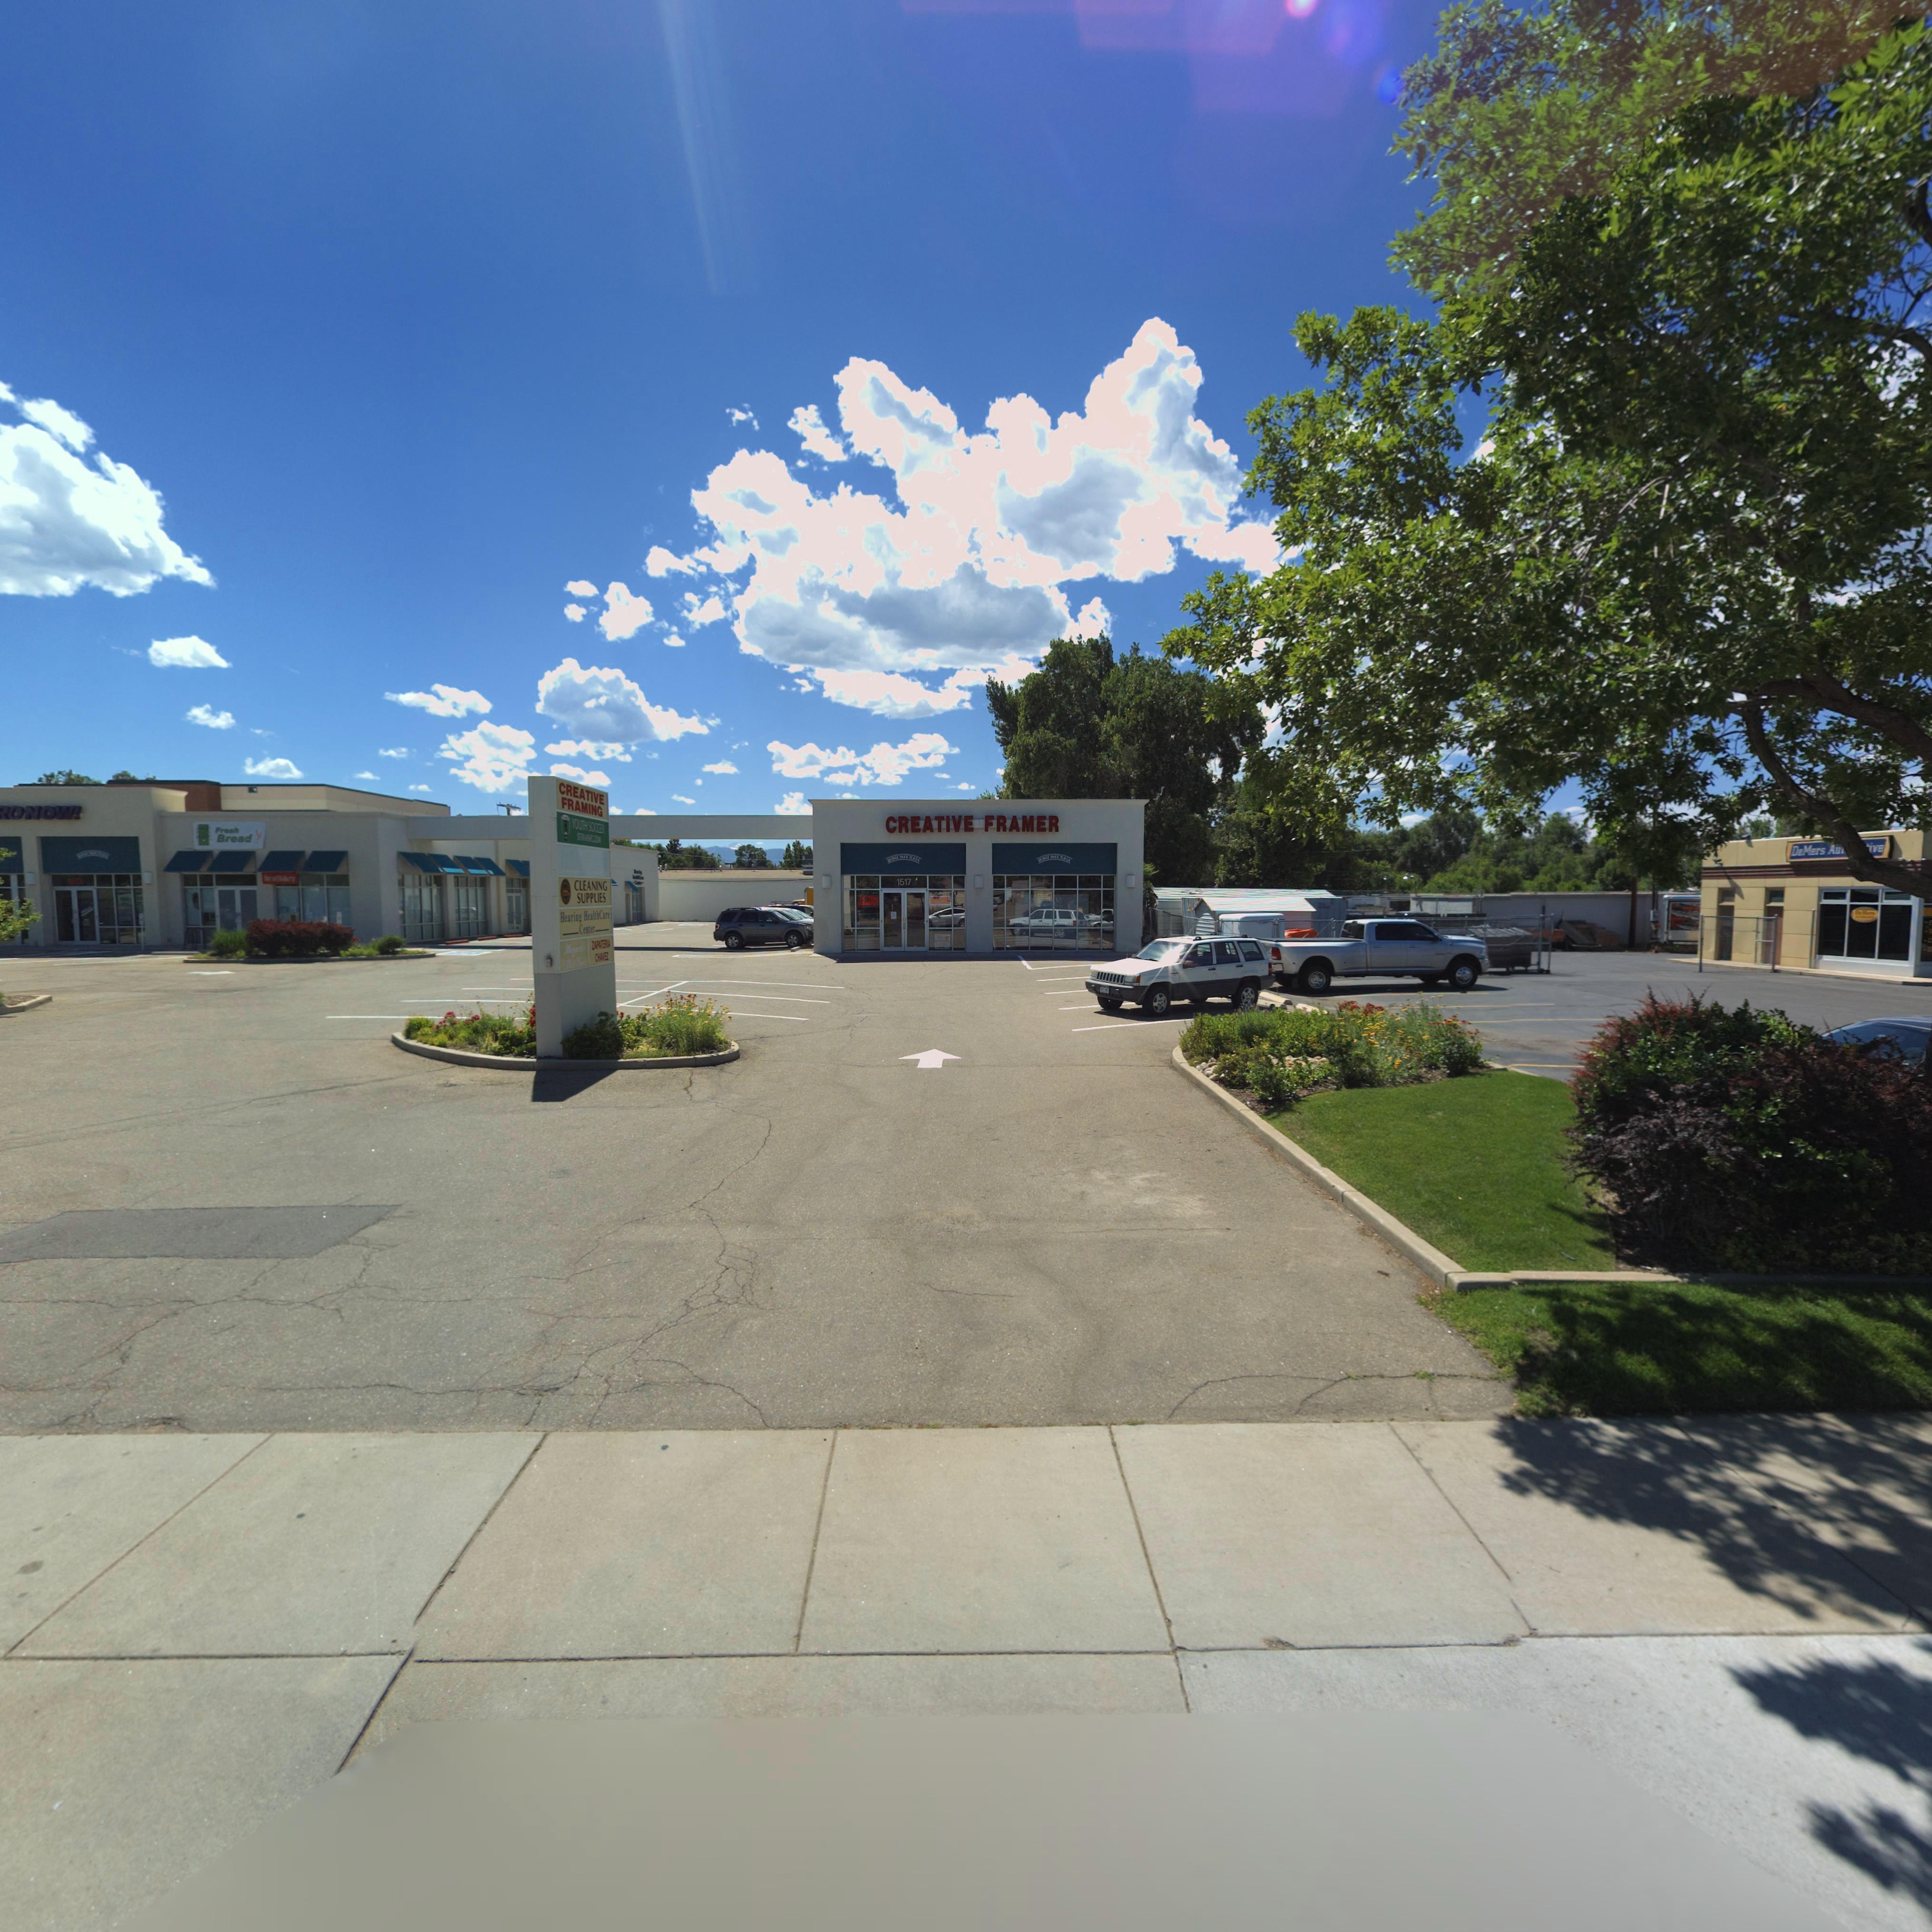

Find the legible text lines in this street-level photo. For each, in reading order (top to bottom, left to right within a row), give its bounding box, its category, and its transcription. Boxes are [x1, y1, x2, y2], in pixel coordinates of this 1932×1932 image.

[558, 782, 604, 805] BusinessName: CREATIVE
[8, 805, 81, 820] BusinessName: O NOW!
[561, 796, 603, 817] BusinessName: FRAMING
[885, 815, 1059, 833] BusinessName: CREATIVE FRAMER
[1790, 842, 1884, 857] BusinessName: DeMers Aut***tive
[634, 880, 644, 885] BusinessName: Cent*r
[896, 878, 911, 885] StreetNumber: 1517
[560, 909, 609, 924] BusinessName: Hearing HealthCenter
[1855, 909, 1875, 916] BusinessName: D*M***
[579, 924, 595, 934] BusinessName: Center
[562, 941, 588, 958] BusinessName: M**g****
[591, 939, 610, 950] BusinessName: ZAPATERIA
[595, 952, 609, 962] BusinessName: CHAVEZ